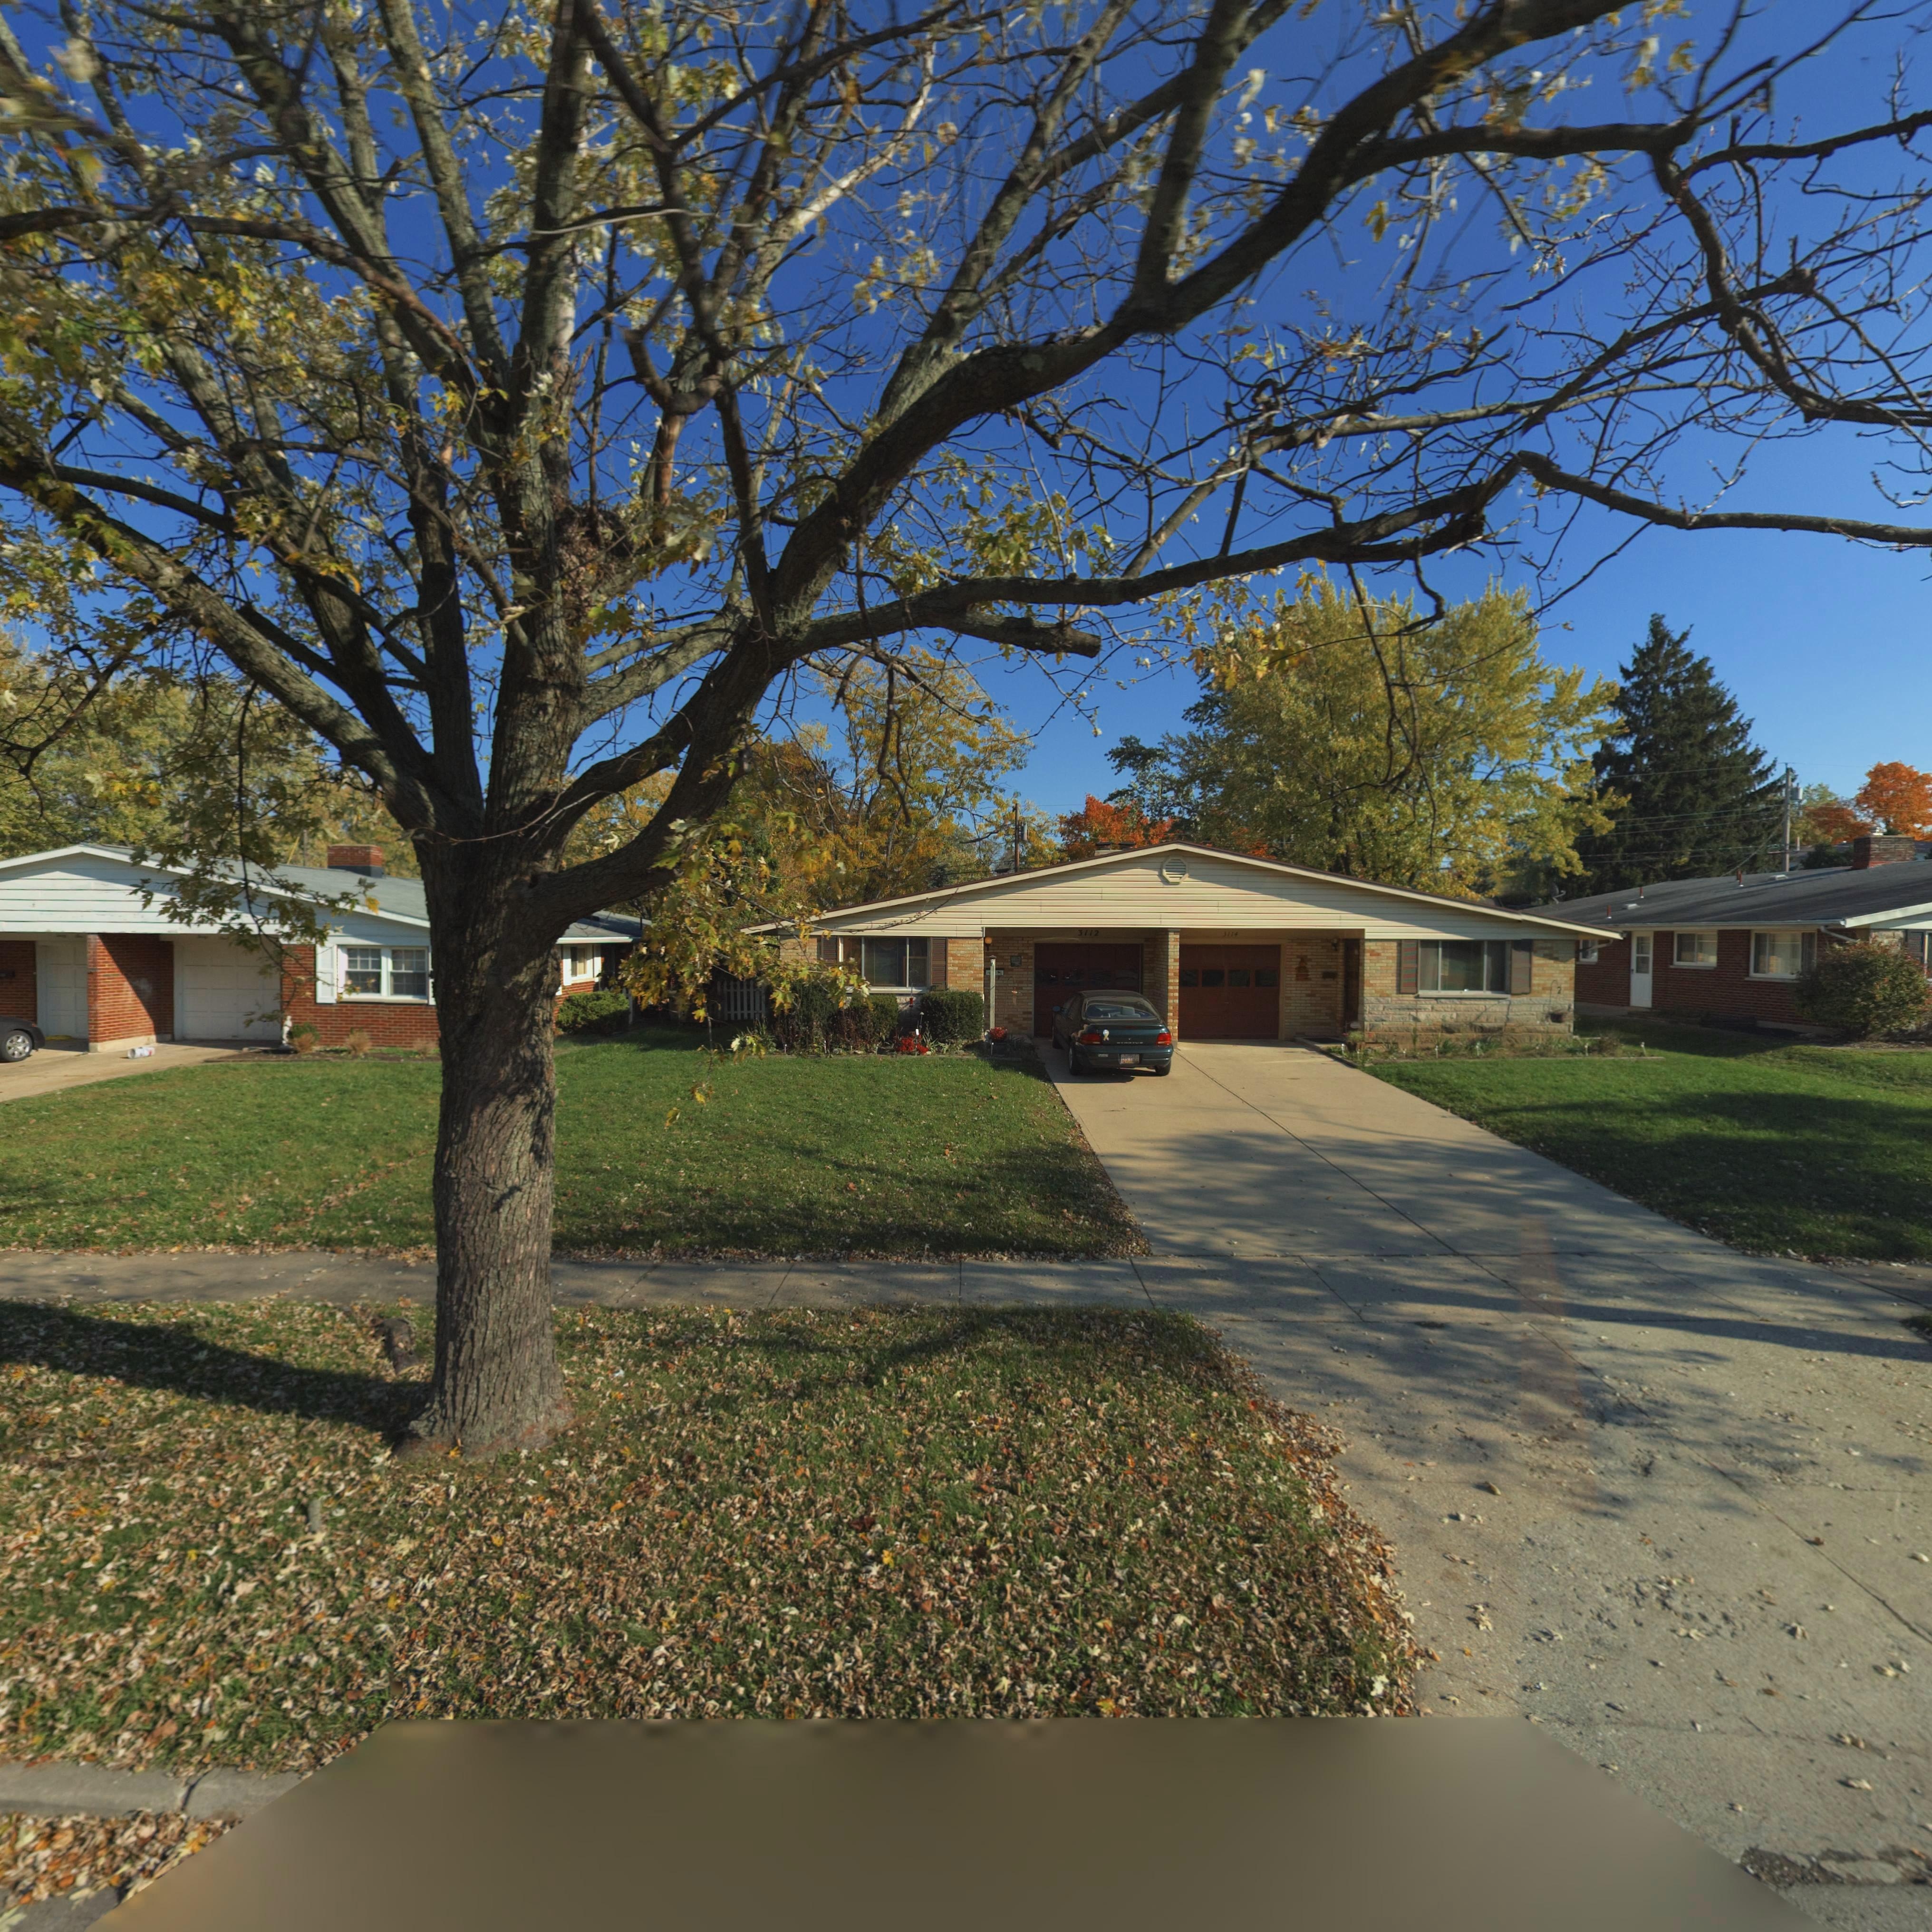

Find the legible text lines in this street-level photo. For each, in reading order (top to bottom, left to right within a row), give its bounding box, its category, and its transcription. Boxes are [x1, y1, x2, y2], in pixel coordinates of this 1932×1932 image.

[1077, 929, 1099, 936] StreetNumber: 3112
[1222, 931, 1238, 937] StreetNumber: 3114